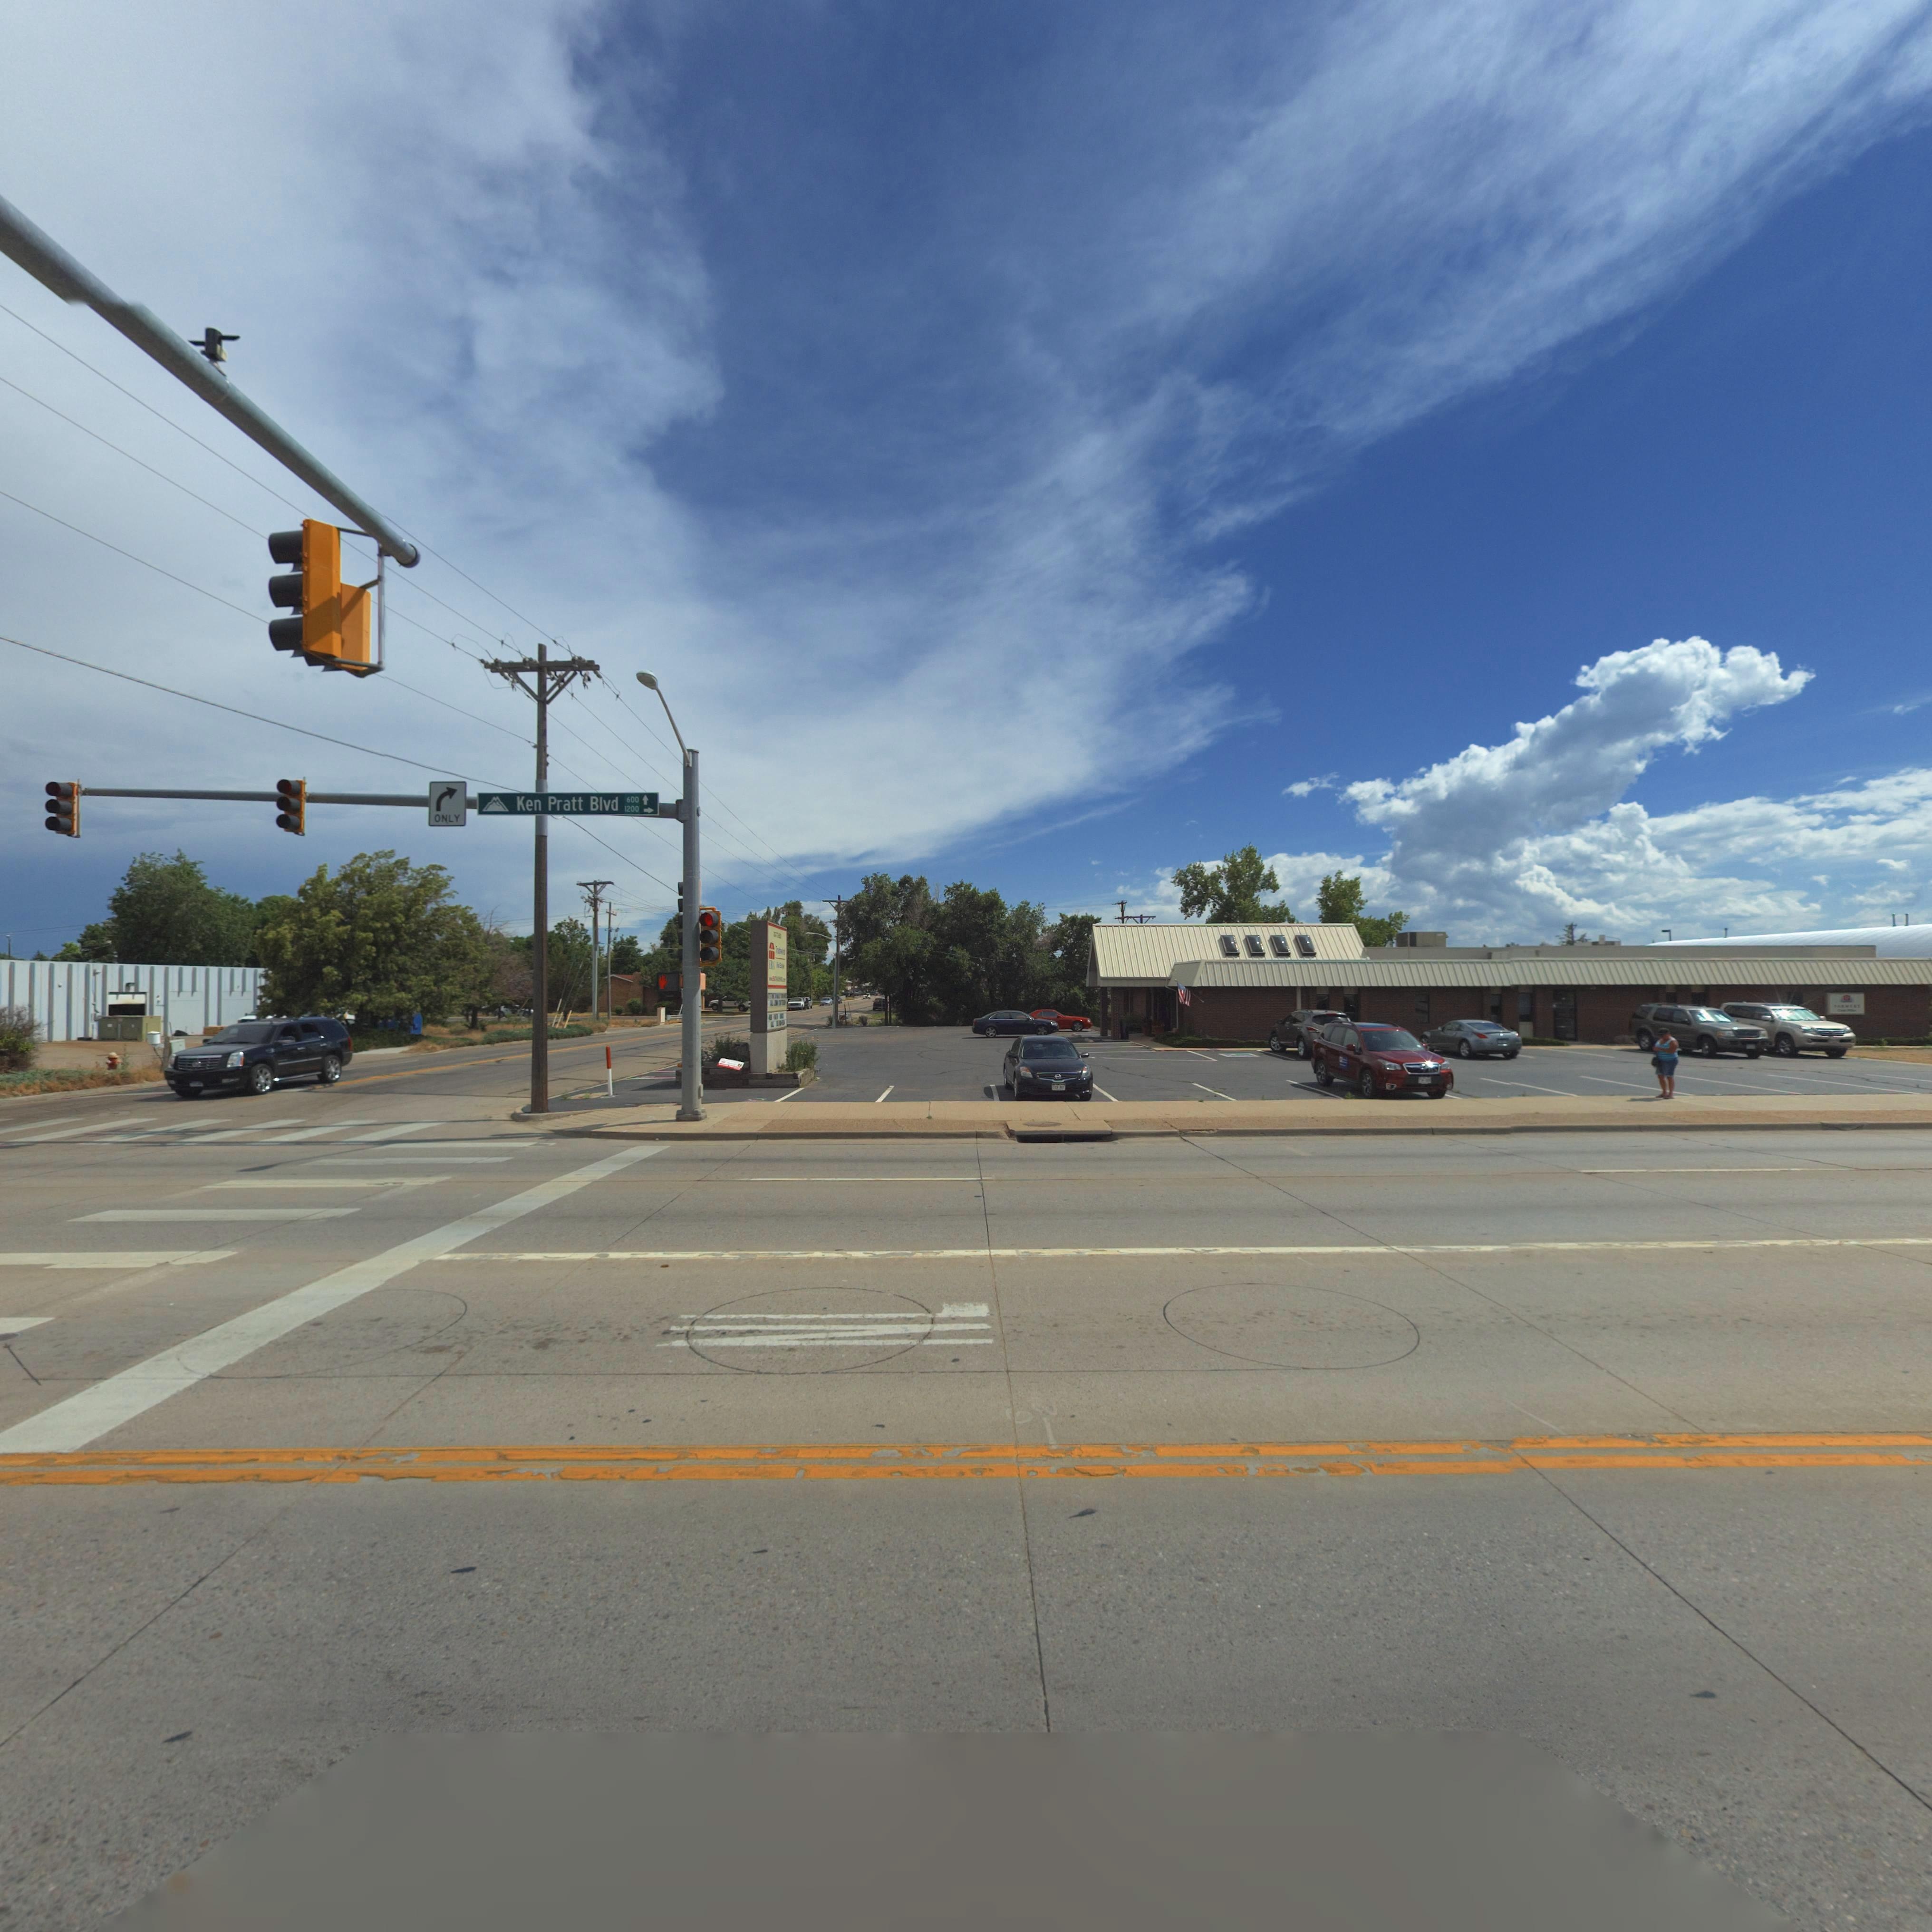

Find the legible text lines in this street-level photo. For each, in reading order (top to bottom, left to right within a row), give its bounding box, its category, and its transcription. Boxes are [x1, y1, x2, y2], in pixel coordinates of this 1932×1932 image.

[516, 795, 618, 811] StreetName: Ken Pratt Blvd
[626, 795, 639, 803] StreetNumberRange: 600
[624, 805, 655, 814] StreetNumberRange: 1200 ->
[774, 945, 786, 956] BusinessName: T********
[768, 959, 775, 970] BusinessName: ERA
[776, 961, 785, 969] BusinessName: ***l E*****
[1833, 1004, 1861, 1008] BusinessName: *****RS